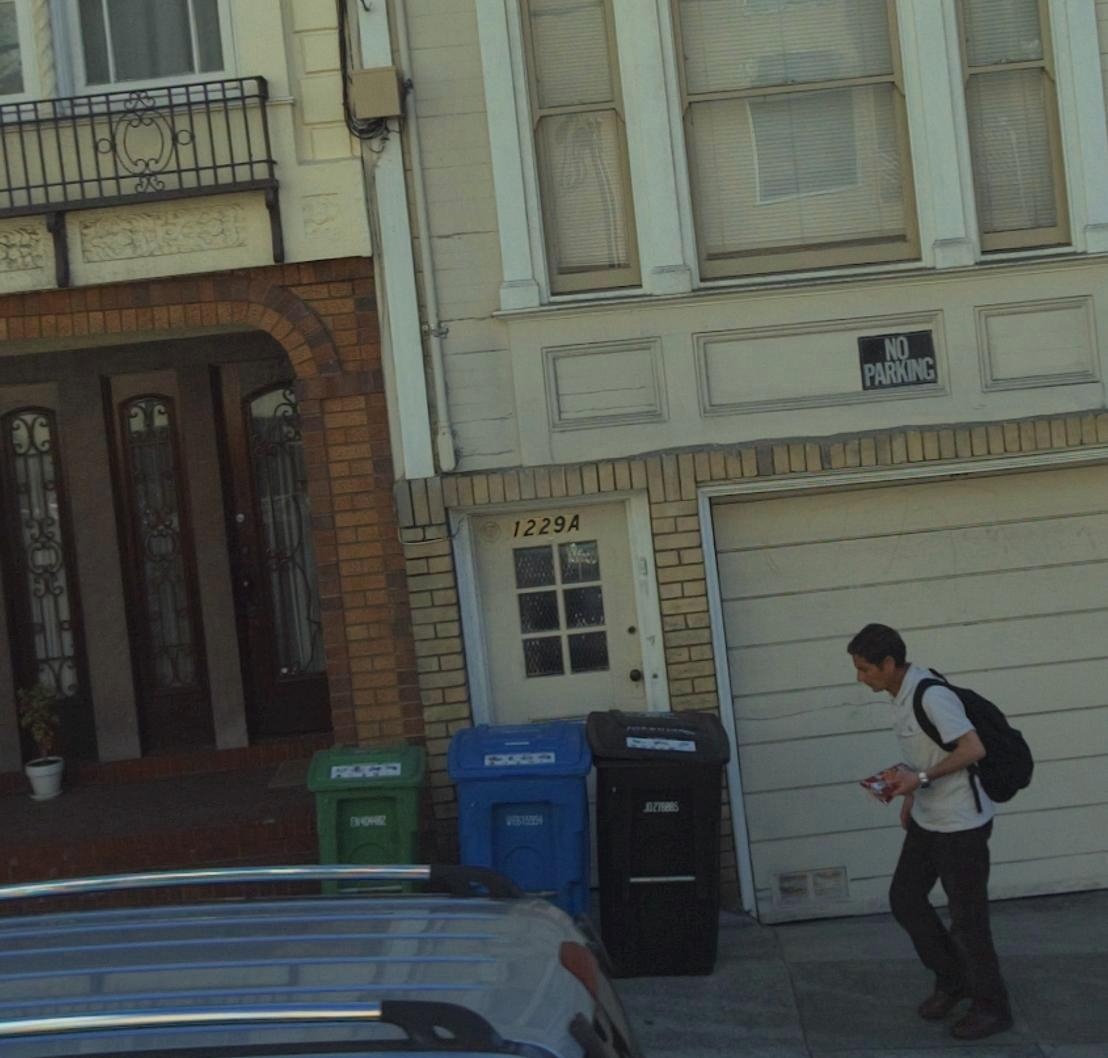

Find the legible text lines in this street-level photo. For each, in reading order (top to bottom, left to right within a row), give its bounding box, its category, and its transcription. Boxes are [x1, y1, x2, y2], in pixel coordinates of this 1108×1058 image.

[883, 334, 911, 362] None: NO
[861, 355, 938, 387] None: PARKING
[511, 512, 582, 541] StreetNumber: 1229A